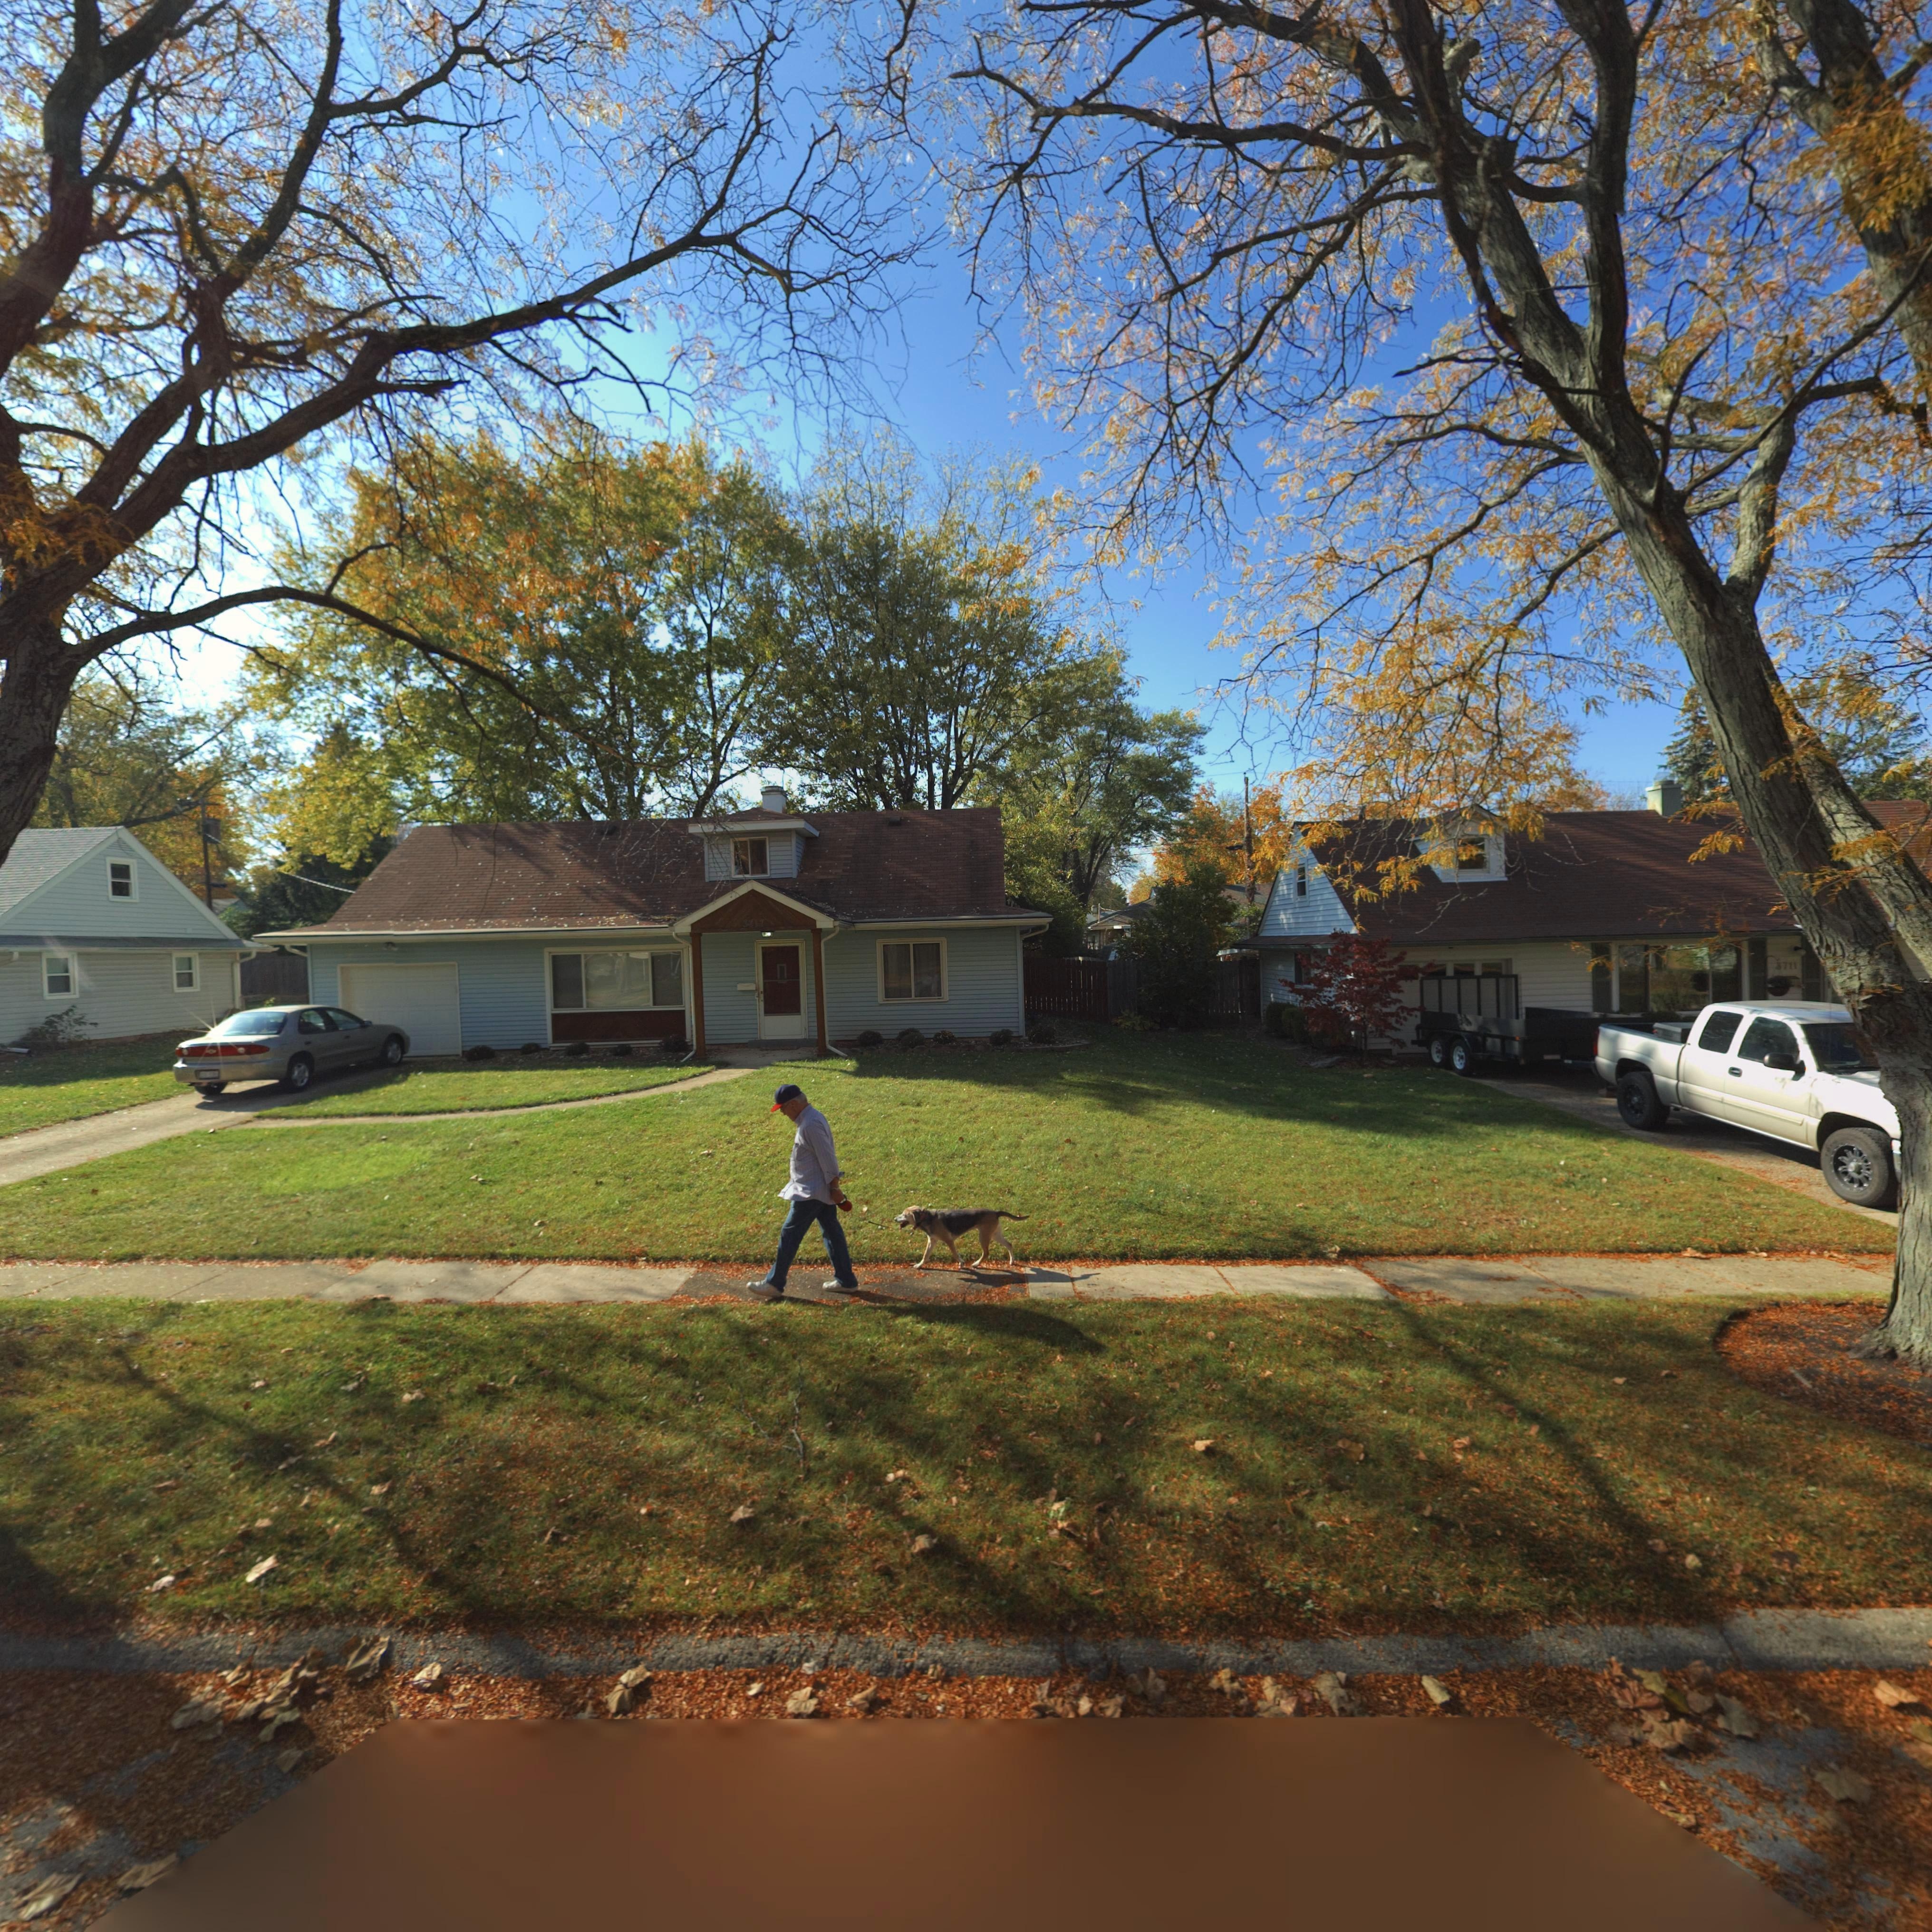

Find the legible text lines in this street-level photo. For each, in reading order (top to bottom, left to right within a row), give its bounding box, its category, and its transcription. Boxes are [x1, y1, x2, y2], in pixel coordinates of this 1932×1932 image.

[742, 918, 765, 928] StreetNumber: 3717
[1775, 961, 1798, 970] StreetNumber: 3711